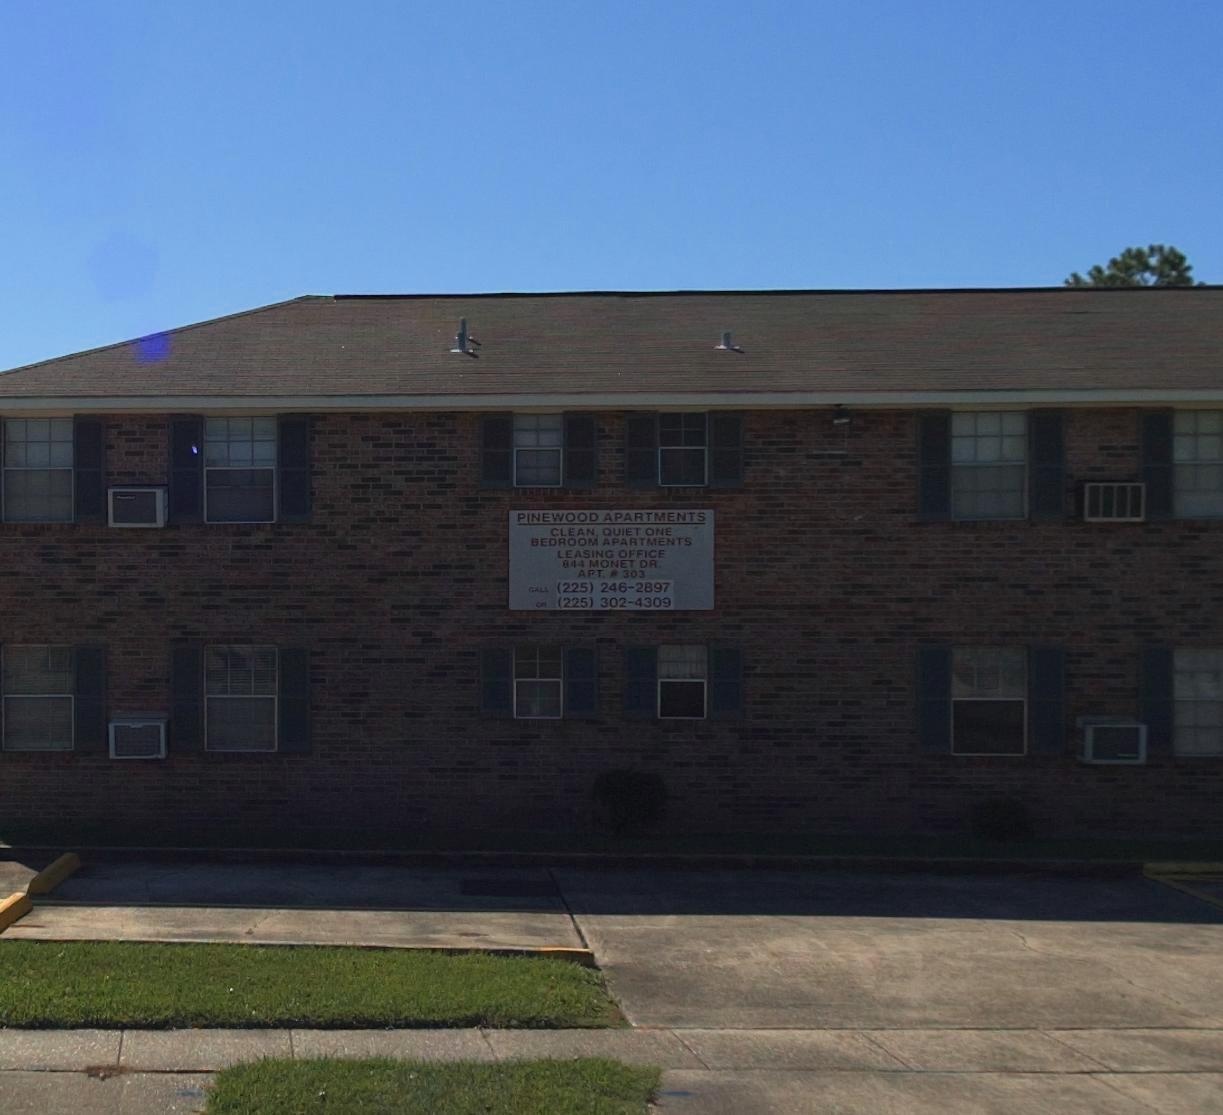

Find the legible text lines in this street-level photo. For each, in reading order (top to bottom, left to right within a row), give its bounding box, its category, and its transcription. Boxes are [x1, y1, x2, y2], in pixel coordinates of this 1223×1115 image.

[515, 510, 707, 525] BusinessName: PINEWOOD APARTMENTS
[548, 525, 675, 539] None: CLEAN, QUIET ONE
[529, 534, 694, 548] None: BEDROOM APARTMENTS
[555, 547, 669, 560] None: LEASING OFFICE
[560, 557, 586, 570] StreetNumber: 844
[588, 556, 664, 570] StreetName: MONET DR.
[574, 567, 648, 580] SecondaryUnitDesignator: APT.# 303
[524, 583, 553, 596] None: CALL
[554, 578, 674, 596] None: (225) 246-2897
[534, 600, 549, 609] None: O*
[555, 594, 673, 611] None: (225) 302-4309